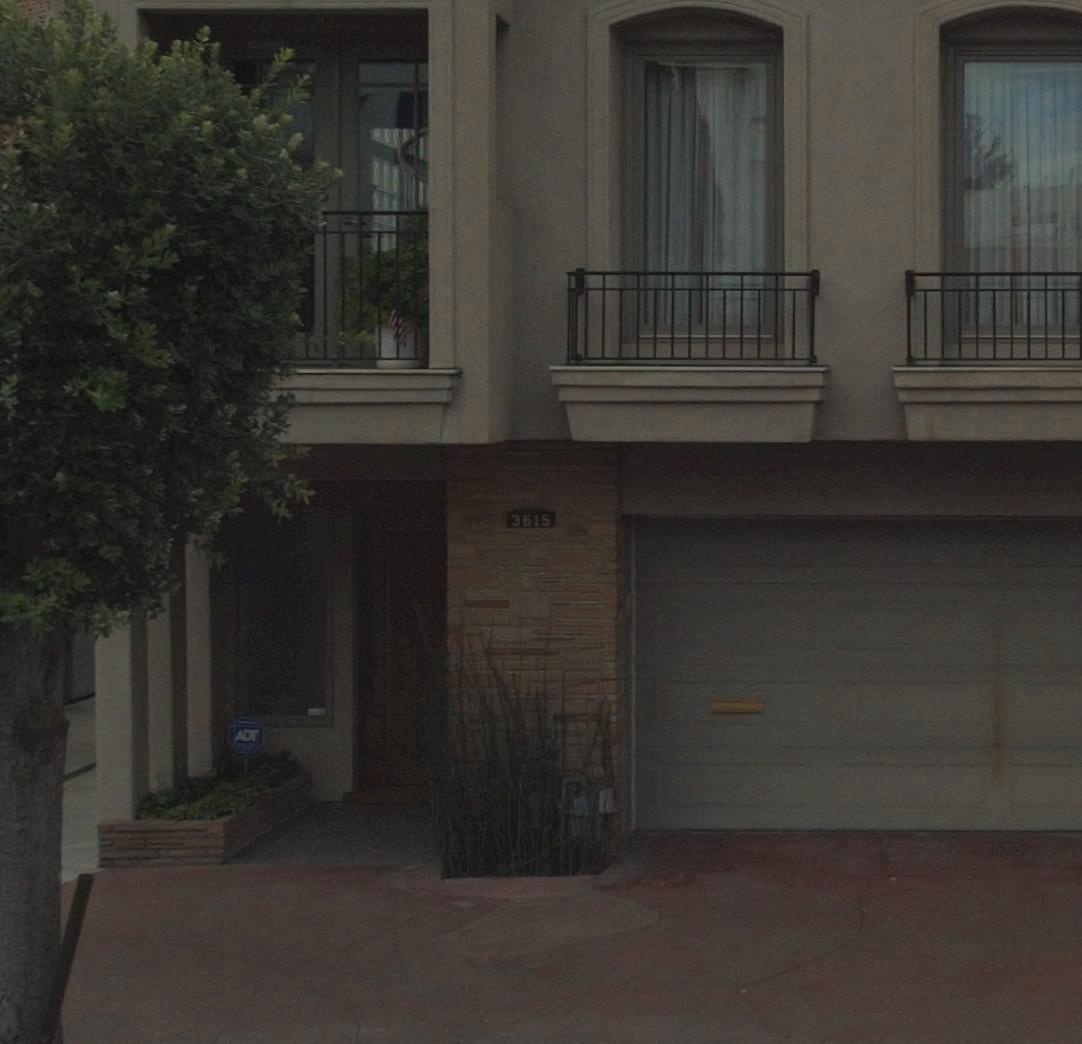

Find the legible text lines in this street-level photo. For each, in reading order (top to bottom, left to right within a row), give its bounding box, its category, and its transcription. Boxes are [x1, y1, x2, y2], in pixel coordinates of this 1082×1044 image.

[508, 511, 553, 530] StreetNumber: 3615
[232, 726, 262, 746] None: ADT